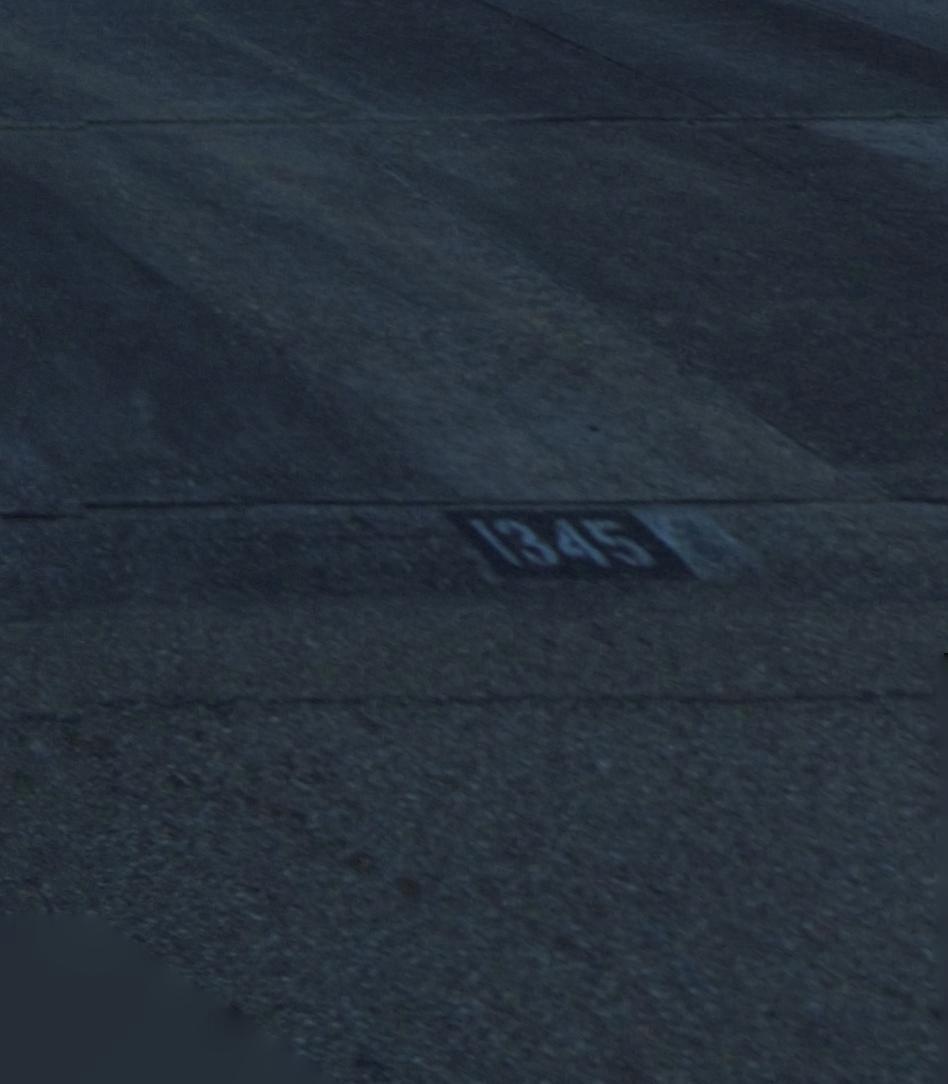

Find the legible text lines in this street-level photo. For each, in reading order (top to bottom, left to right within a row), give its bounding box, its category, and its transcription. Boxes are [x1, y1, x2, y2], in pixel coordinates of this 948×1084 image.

[460, 514, 670, 573] StreetNumber: 1345